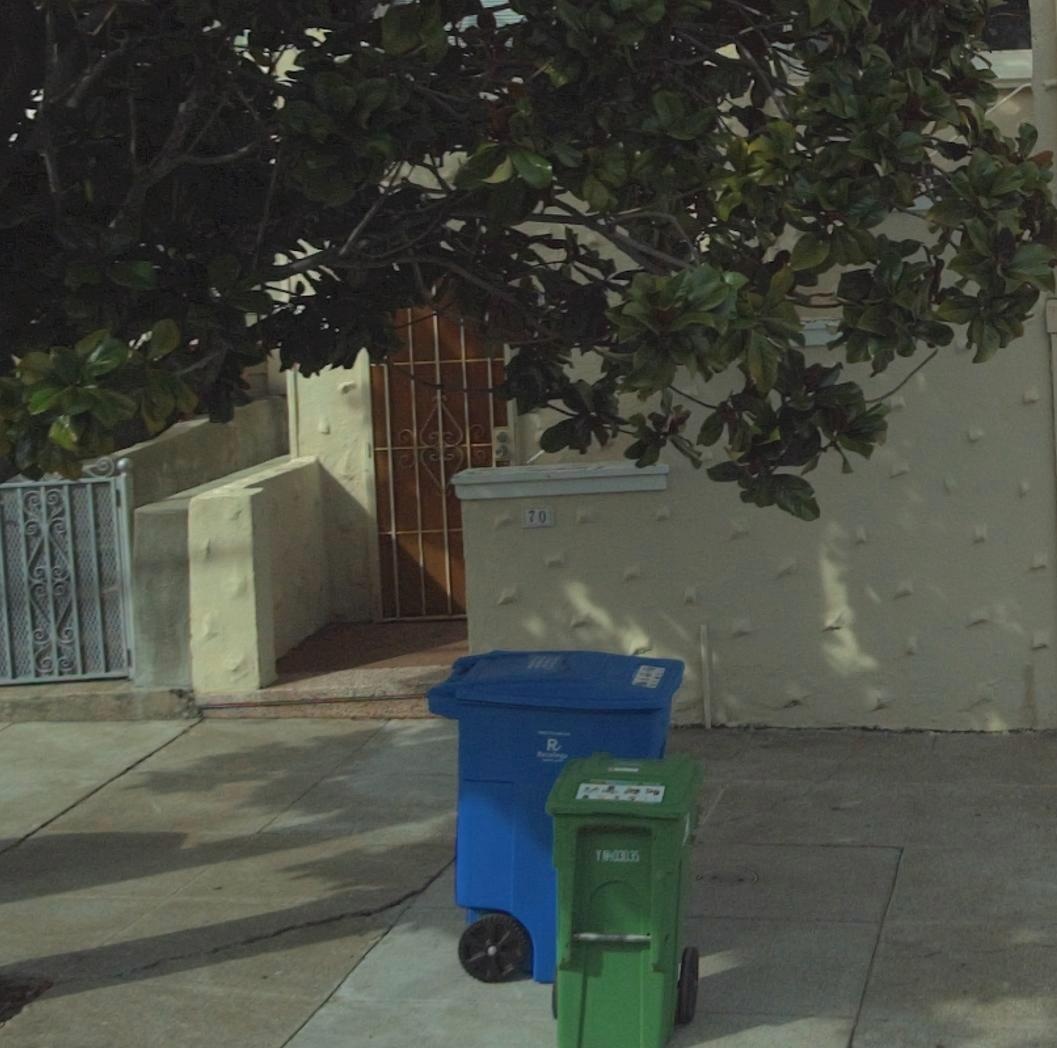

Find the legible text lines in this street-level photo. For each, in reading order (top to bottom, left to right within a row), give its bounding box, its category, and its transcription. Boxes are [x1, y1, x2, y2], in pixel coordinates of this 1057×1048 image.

[526, 509, 547, 523] StreetNumber: 70
[546, 737, 558, 751] None: R
[594, 849, 640, 862] None: Y**030135